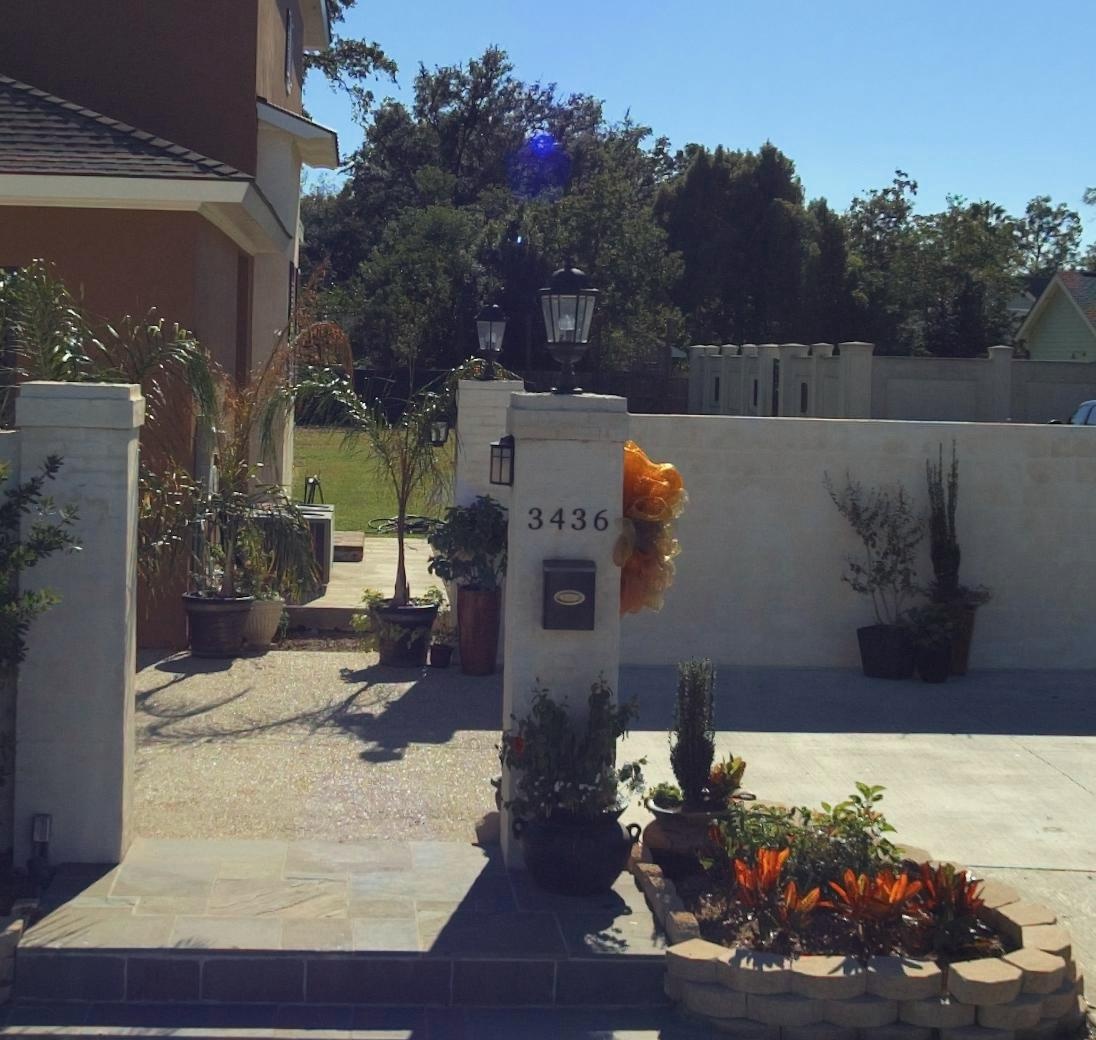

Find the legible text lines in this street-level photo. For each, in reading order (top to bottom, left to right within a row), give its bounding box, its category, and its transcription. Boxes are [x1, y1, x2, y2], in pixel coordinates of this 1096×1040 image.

[525, 505, 612, 534] StreetNumber: 3436